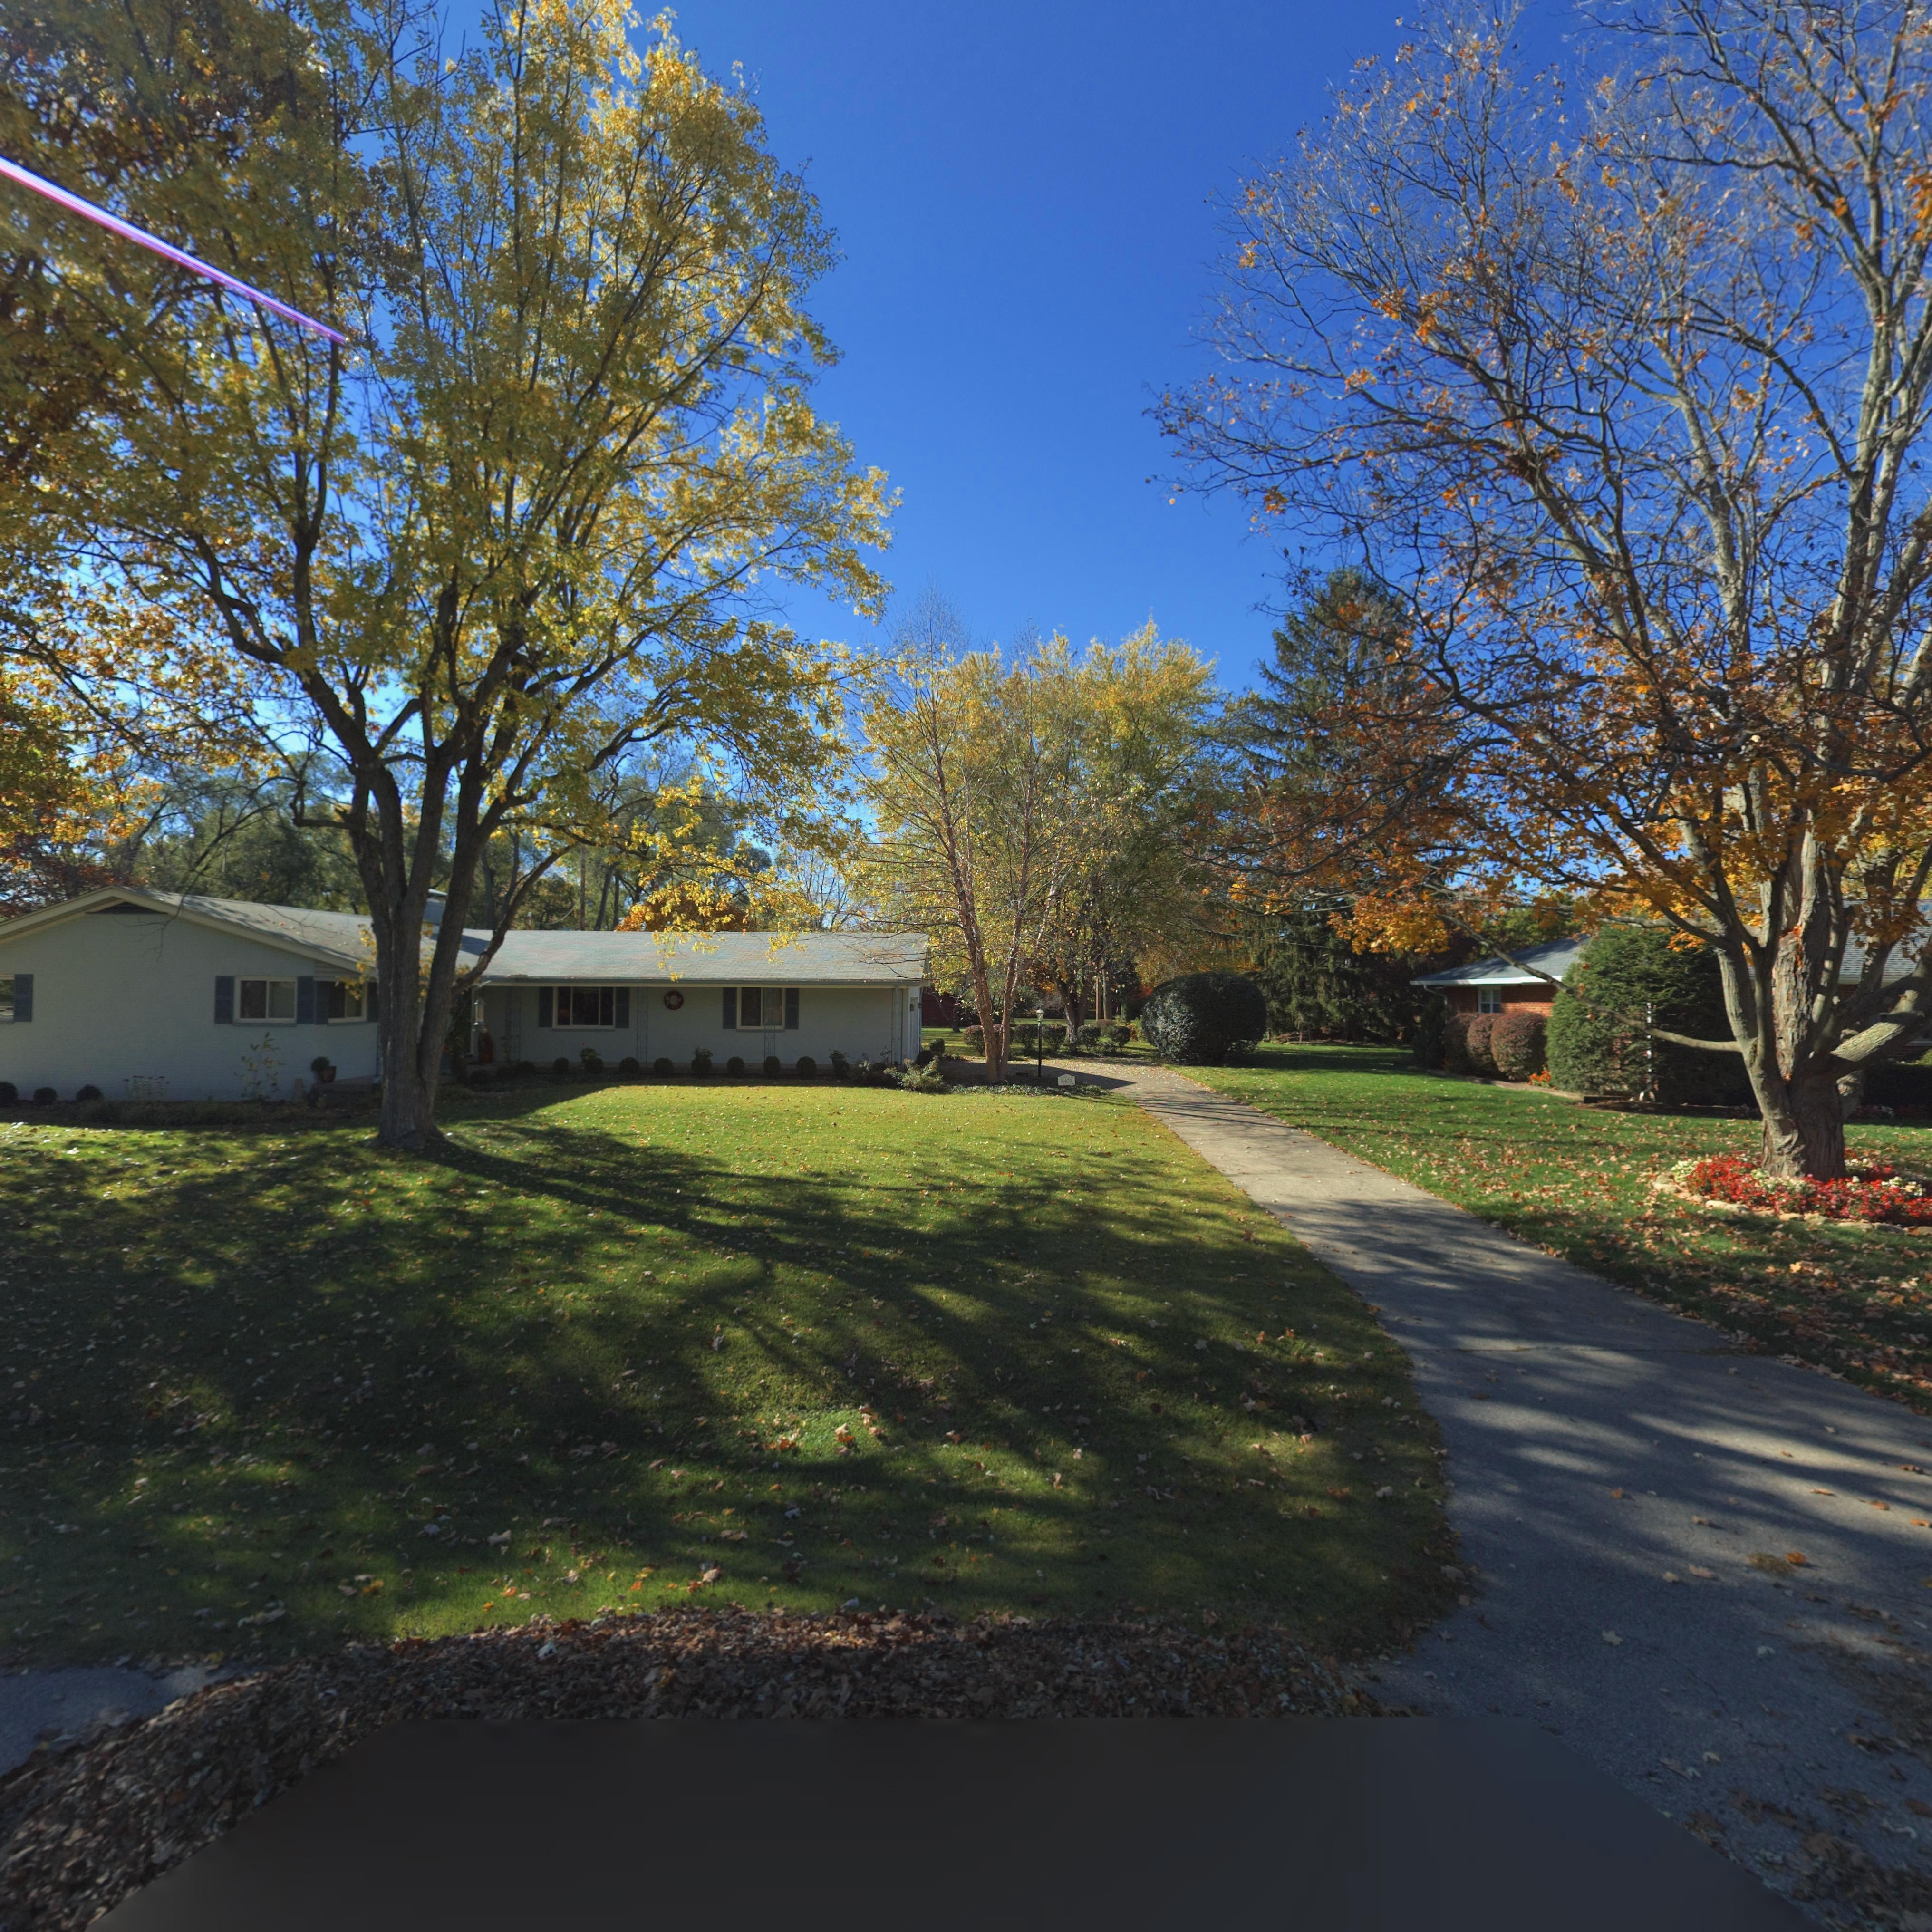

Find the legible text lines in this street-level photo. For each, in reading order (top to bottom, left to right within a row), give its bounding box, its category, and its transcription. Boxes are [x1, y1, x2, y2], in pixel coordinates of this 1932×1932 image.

[1060, 1078, 1072, 1084] StreetNumber: 6401